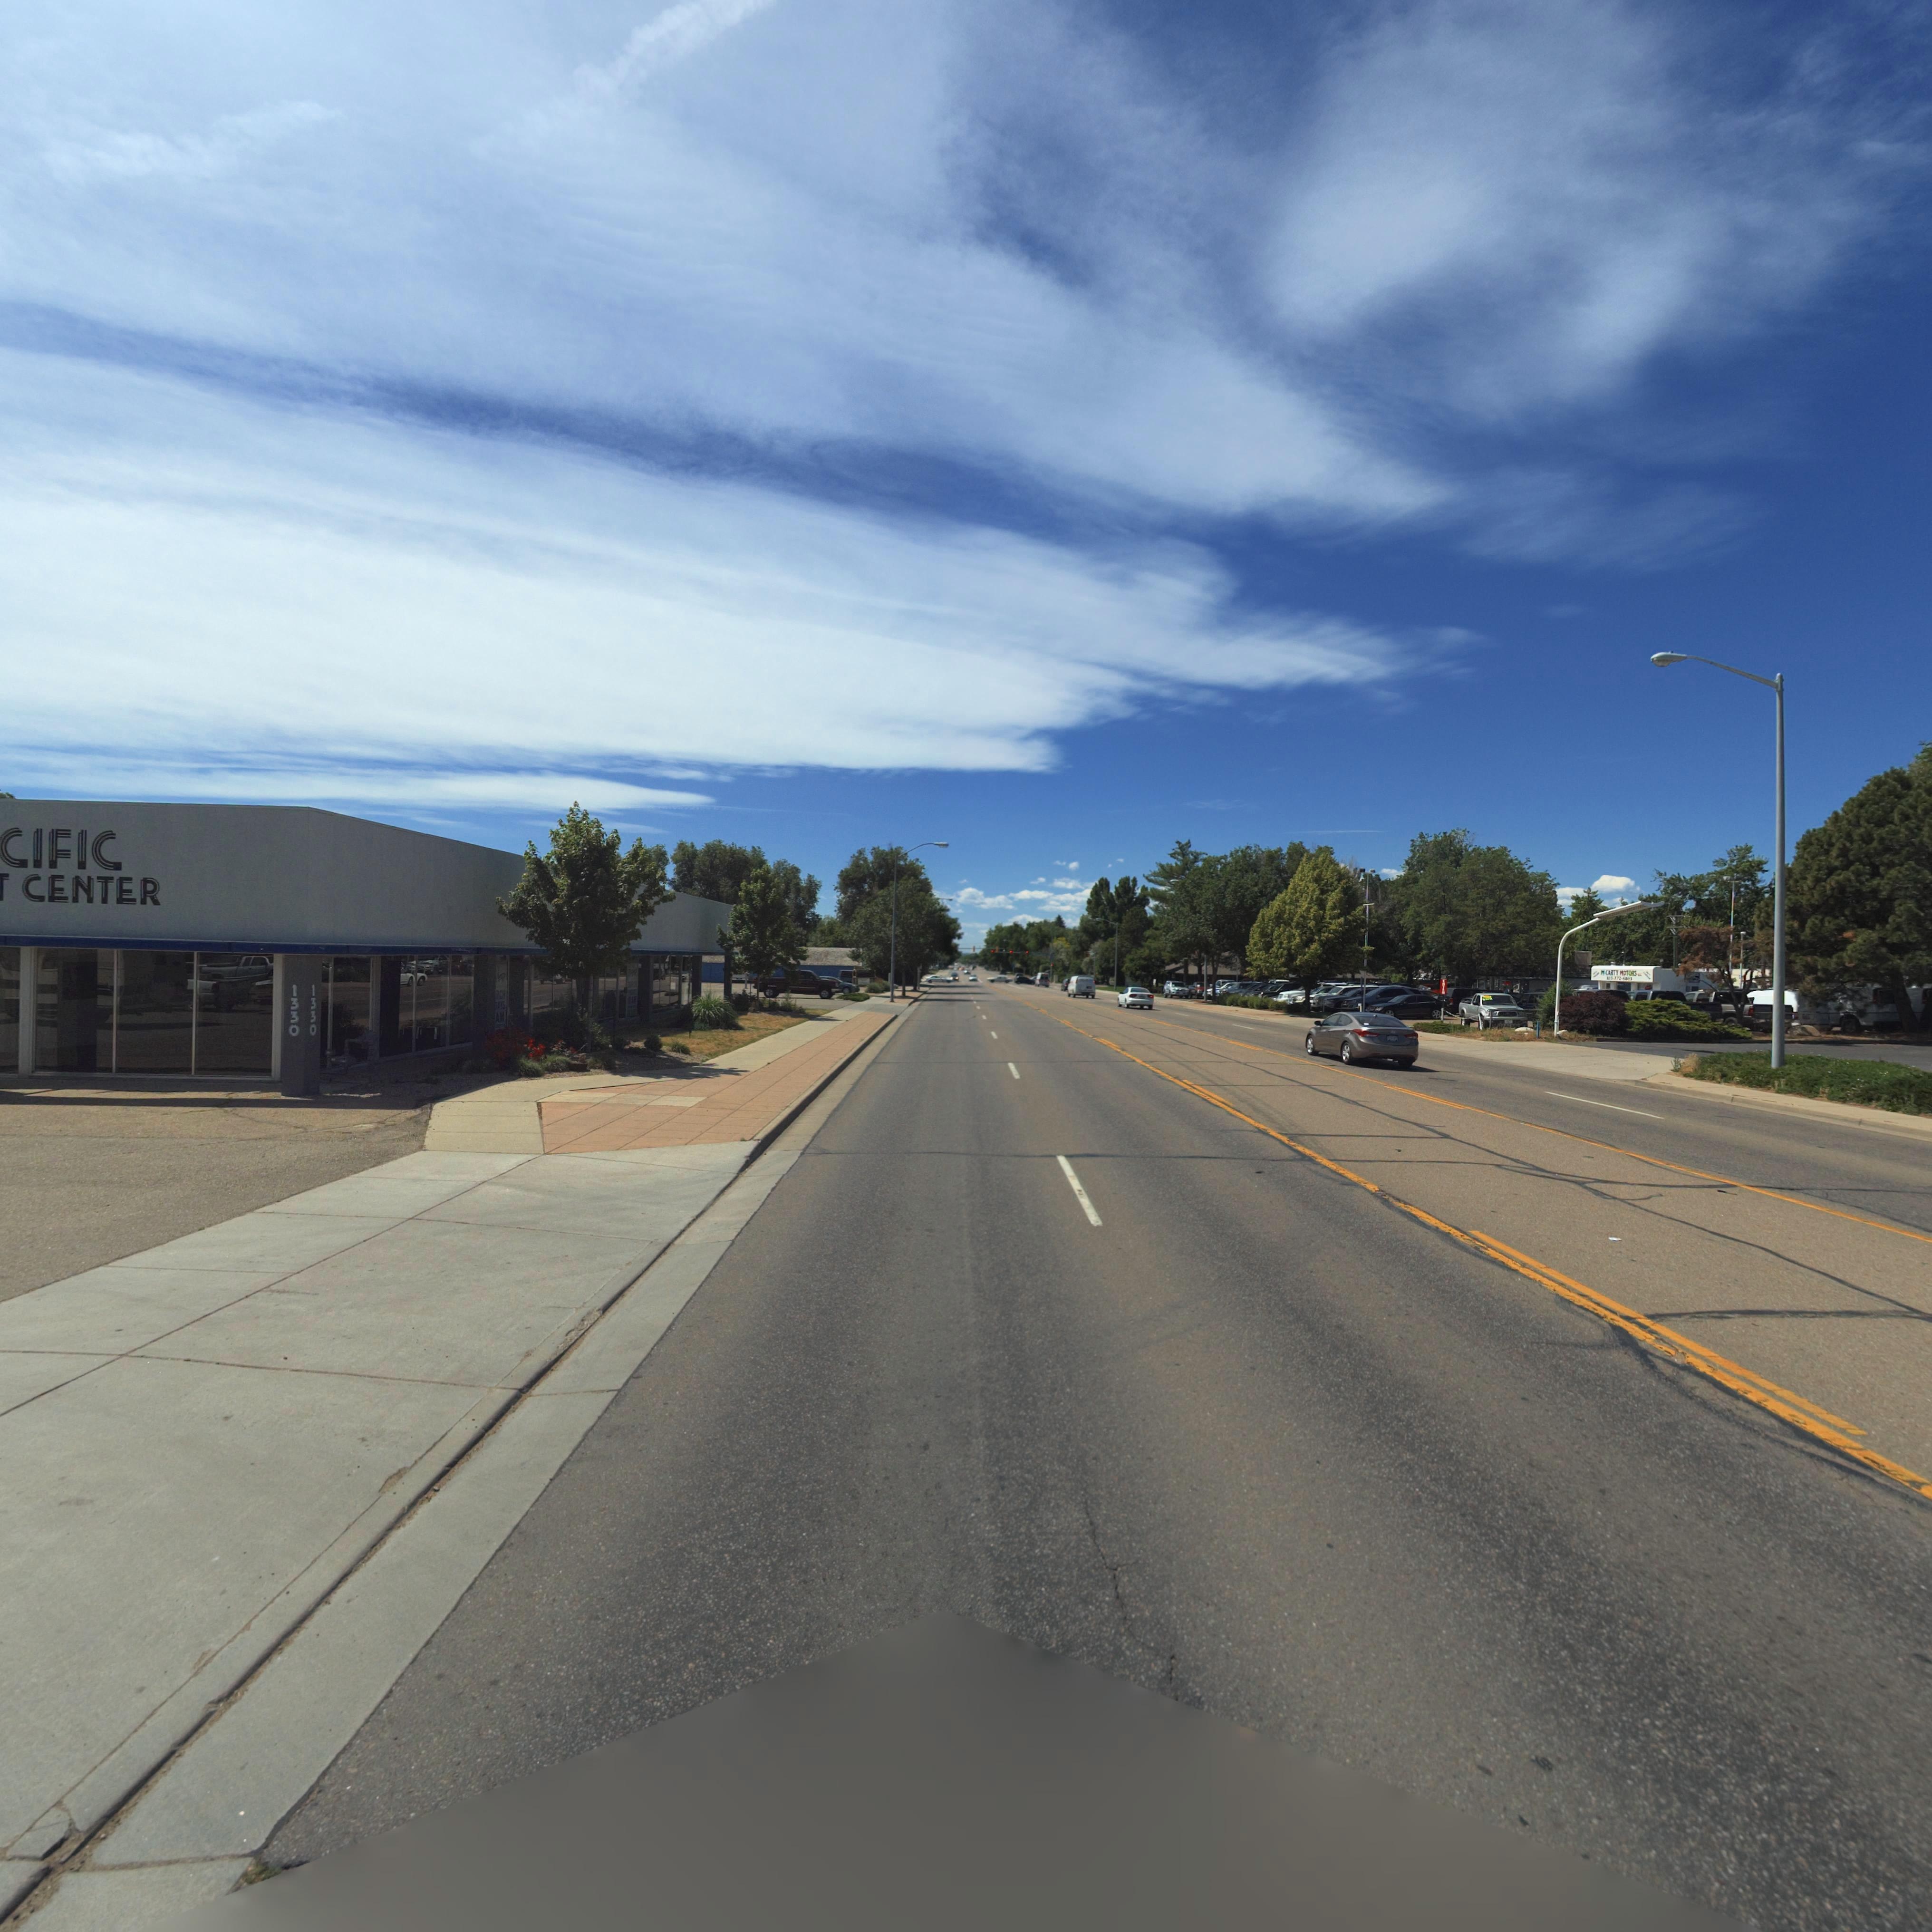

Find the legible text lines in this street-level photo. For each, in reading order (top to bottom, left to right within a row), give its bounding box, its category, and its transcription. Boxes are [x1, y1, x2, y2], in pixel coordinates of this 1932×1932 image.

[31, 826, 124, 872] BusinessName: IFIC
[20, 872, 162, 906] BusinessName: CENTER
[497, 972, 505, 982] BusinessName: ER
[1600, 969, 1637, 976] BusinessName: M*CARTY MOTORS
[288, 984, 301, 1037] StreetNumber: 1330
[309, 984, 317, 1036] StreetNumber: 1330
[495, 989, 506, 1000] BusinessName: RCH